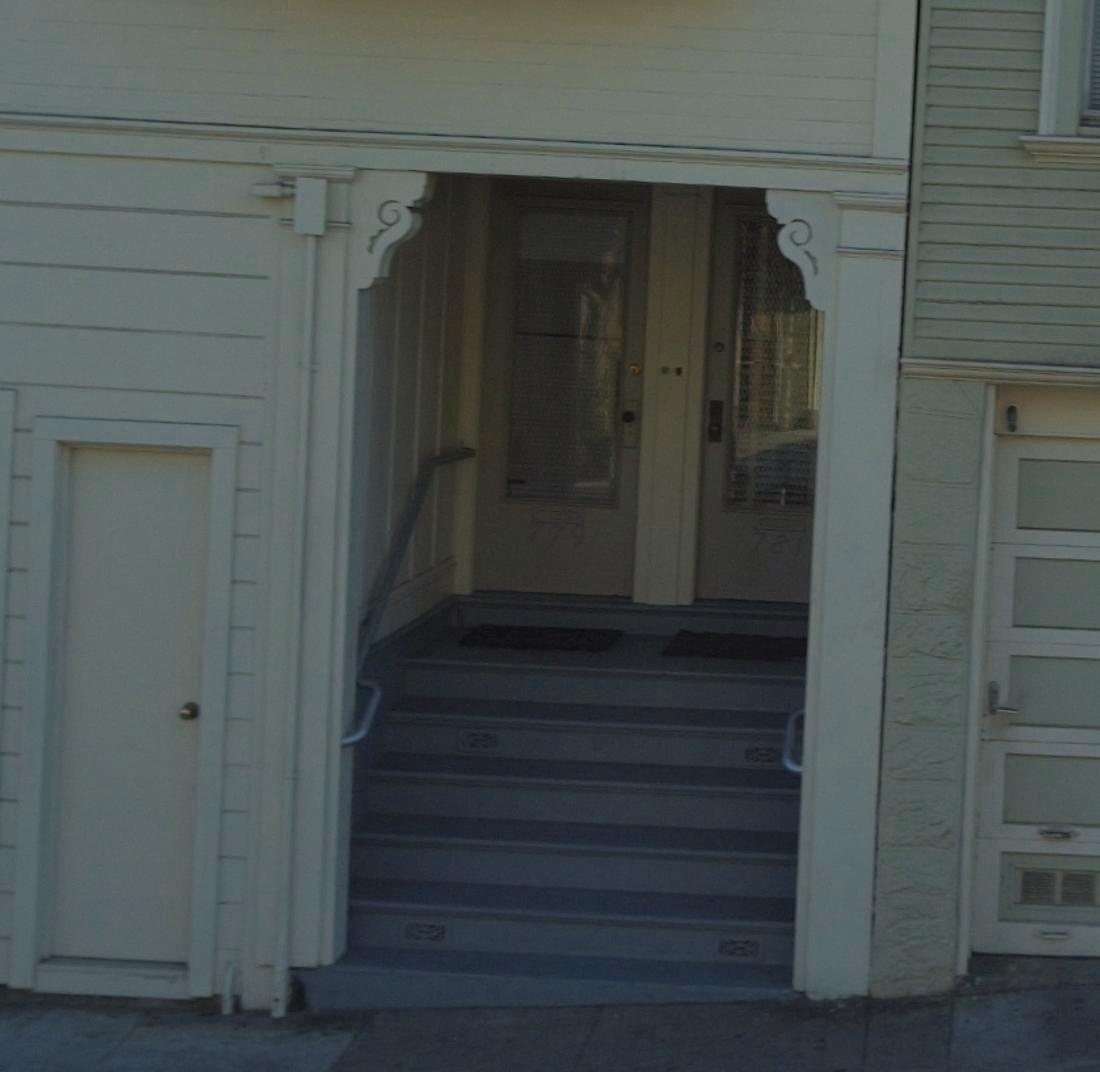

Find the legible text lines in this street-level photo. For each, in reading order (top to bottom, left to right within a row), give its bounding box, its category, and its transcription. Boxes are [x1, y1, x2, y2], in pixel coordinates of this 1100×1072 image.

[527, 517, 587, 550] StreetNumber: 779
[749, 529, 805, 560] StreetNumber: 781